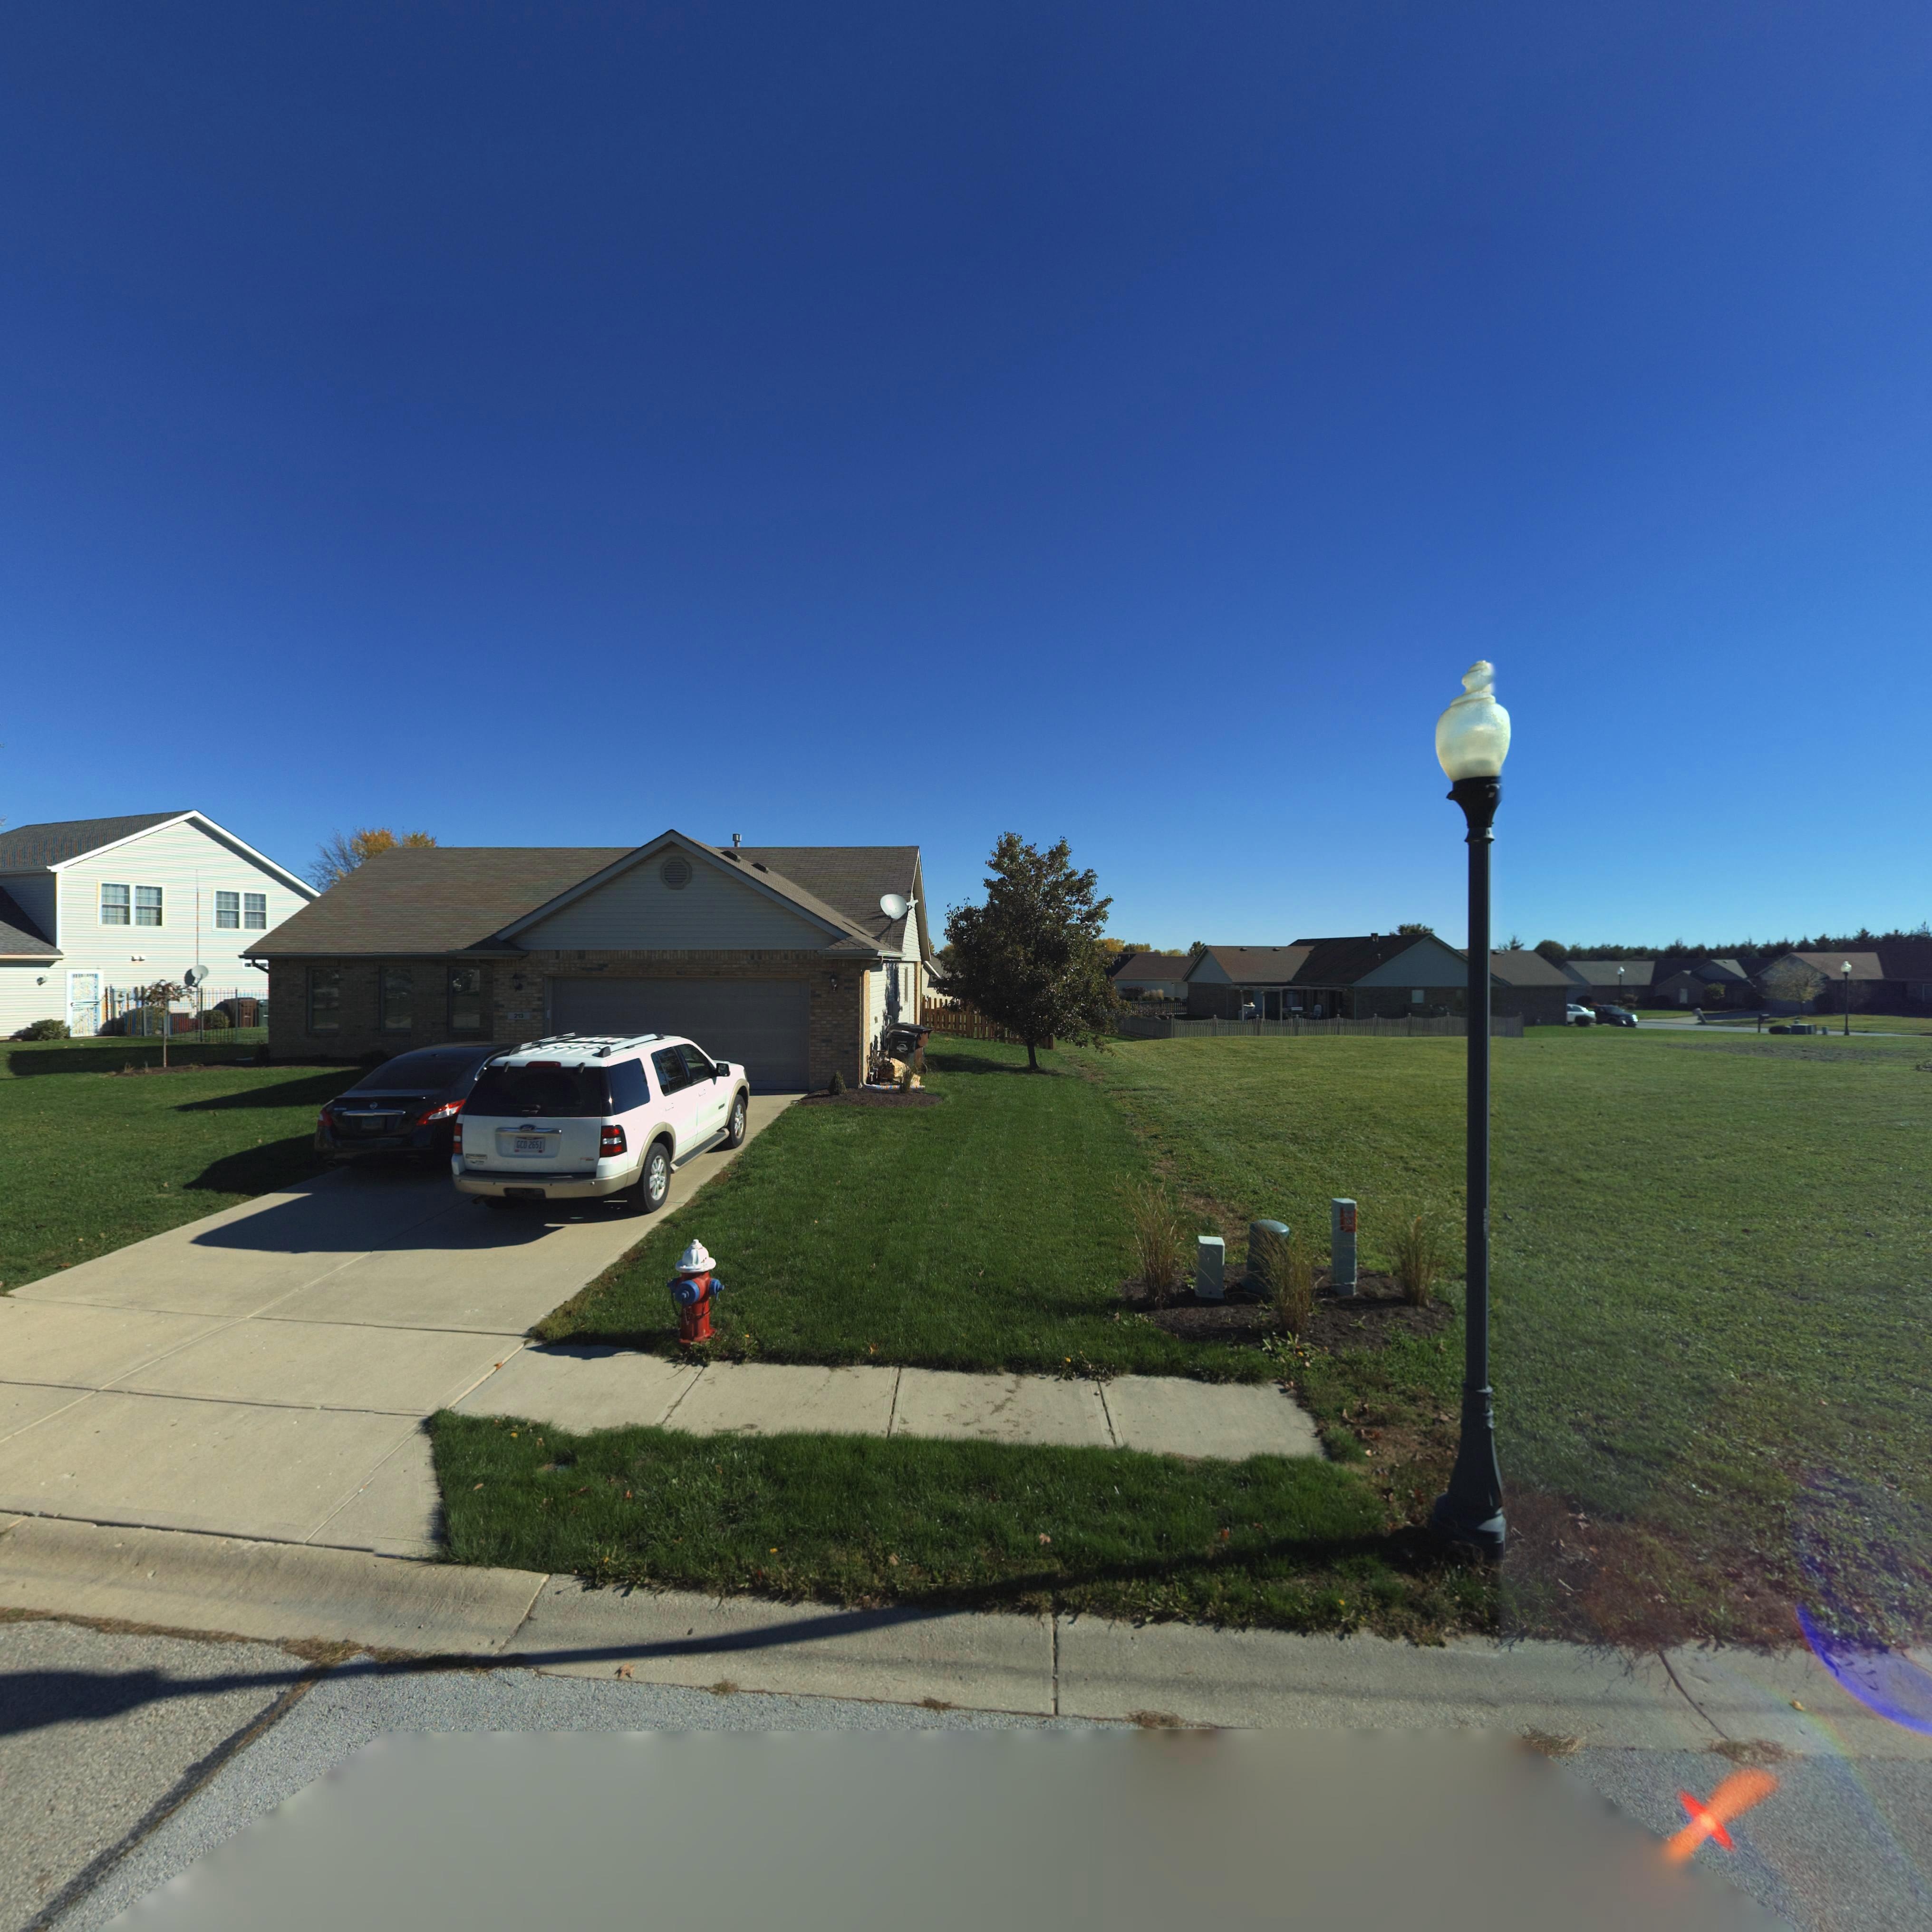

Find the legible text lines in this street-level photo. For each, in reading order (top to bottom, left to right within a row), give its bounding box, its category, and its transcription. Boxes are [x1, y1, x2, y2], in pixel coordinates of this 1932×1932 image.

[513, 1013, 523, 1019] StreetNumber: 213
[515, 1139, 543, 1150] None: GCD 2651